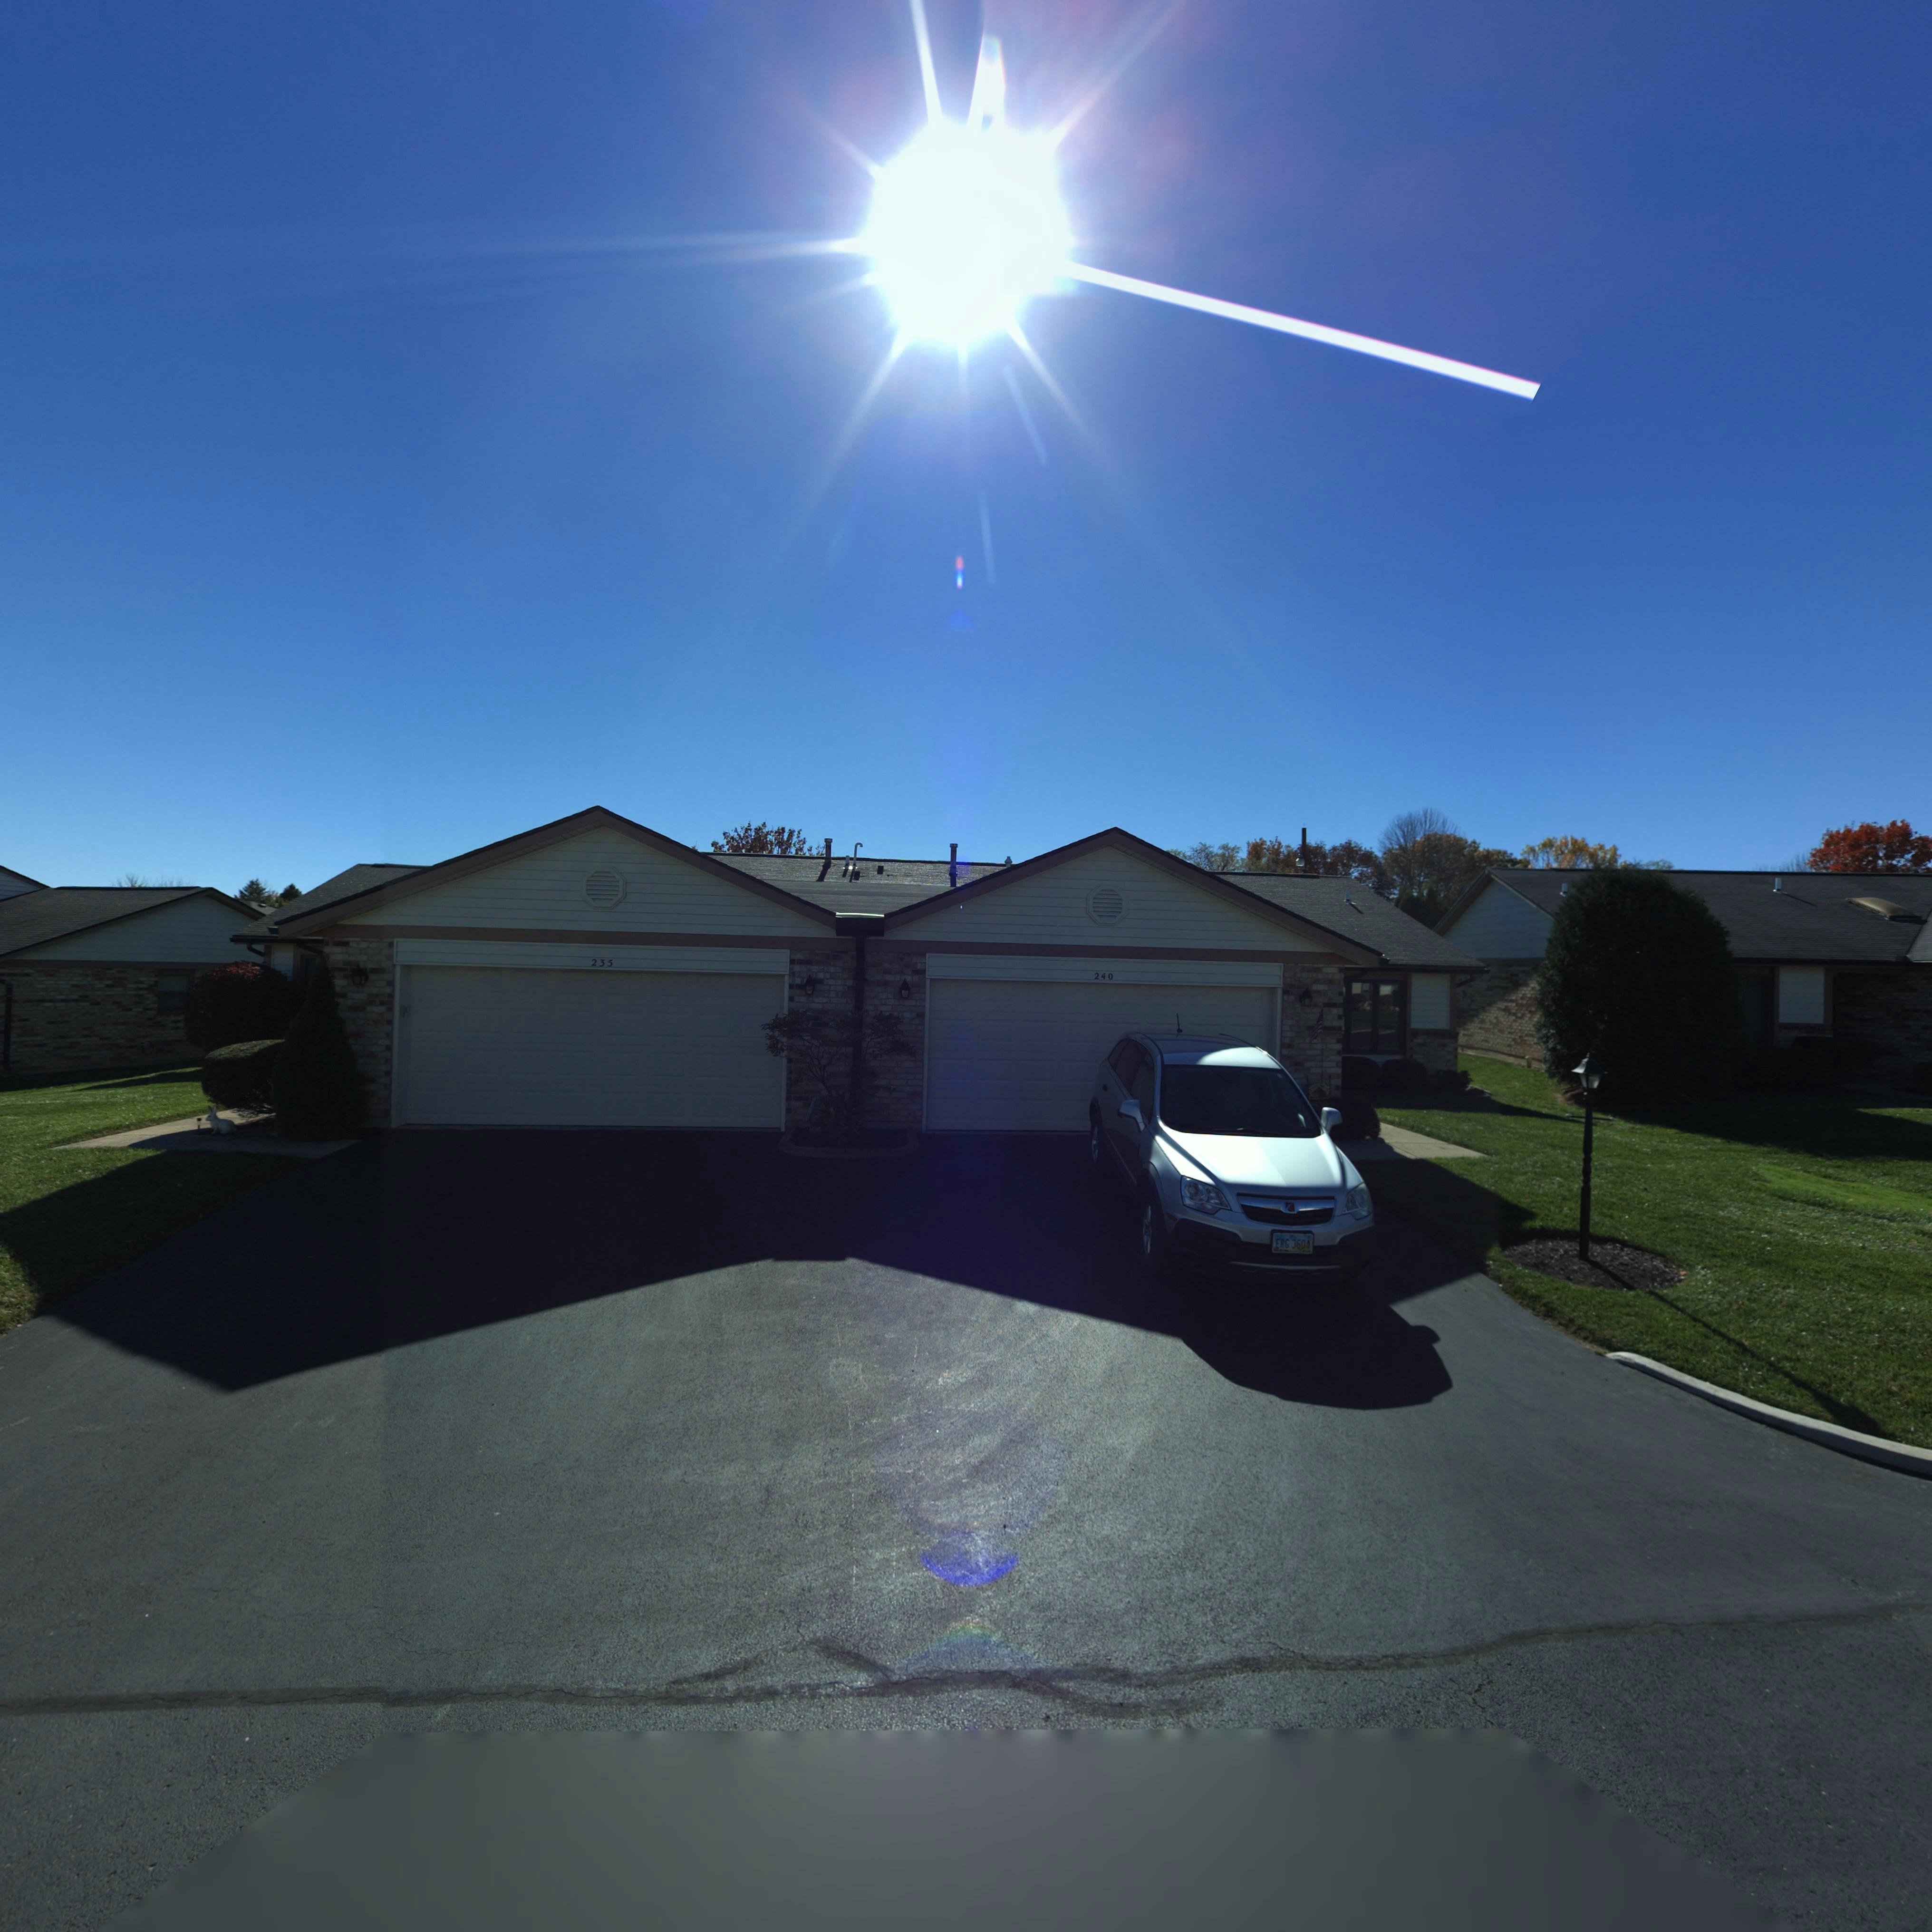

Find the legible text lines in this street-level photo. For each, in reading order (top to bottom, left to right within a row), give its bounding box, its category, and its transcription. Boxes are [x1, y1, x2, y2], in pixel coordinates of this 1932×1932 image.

[590, 958, 614, 967] StreetNumber: 235
[1093, 971, 1114, 981] StreetNumber: 240